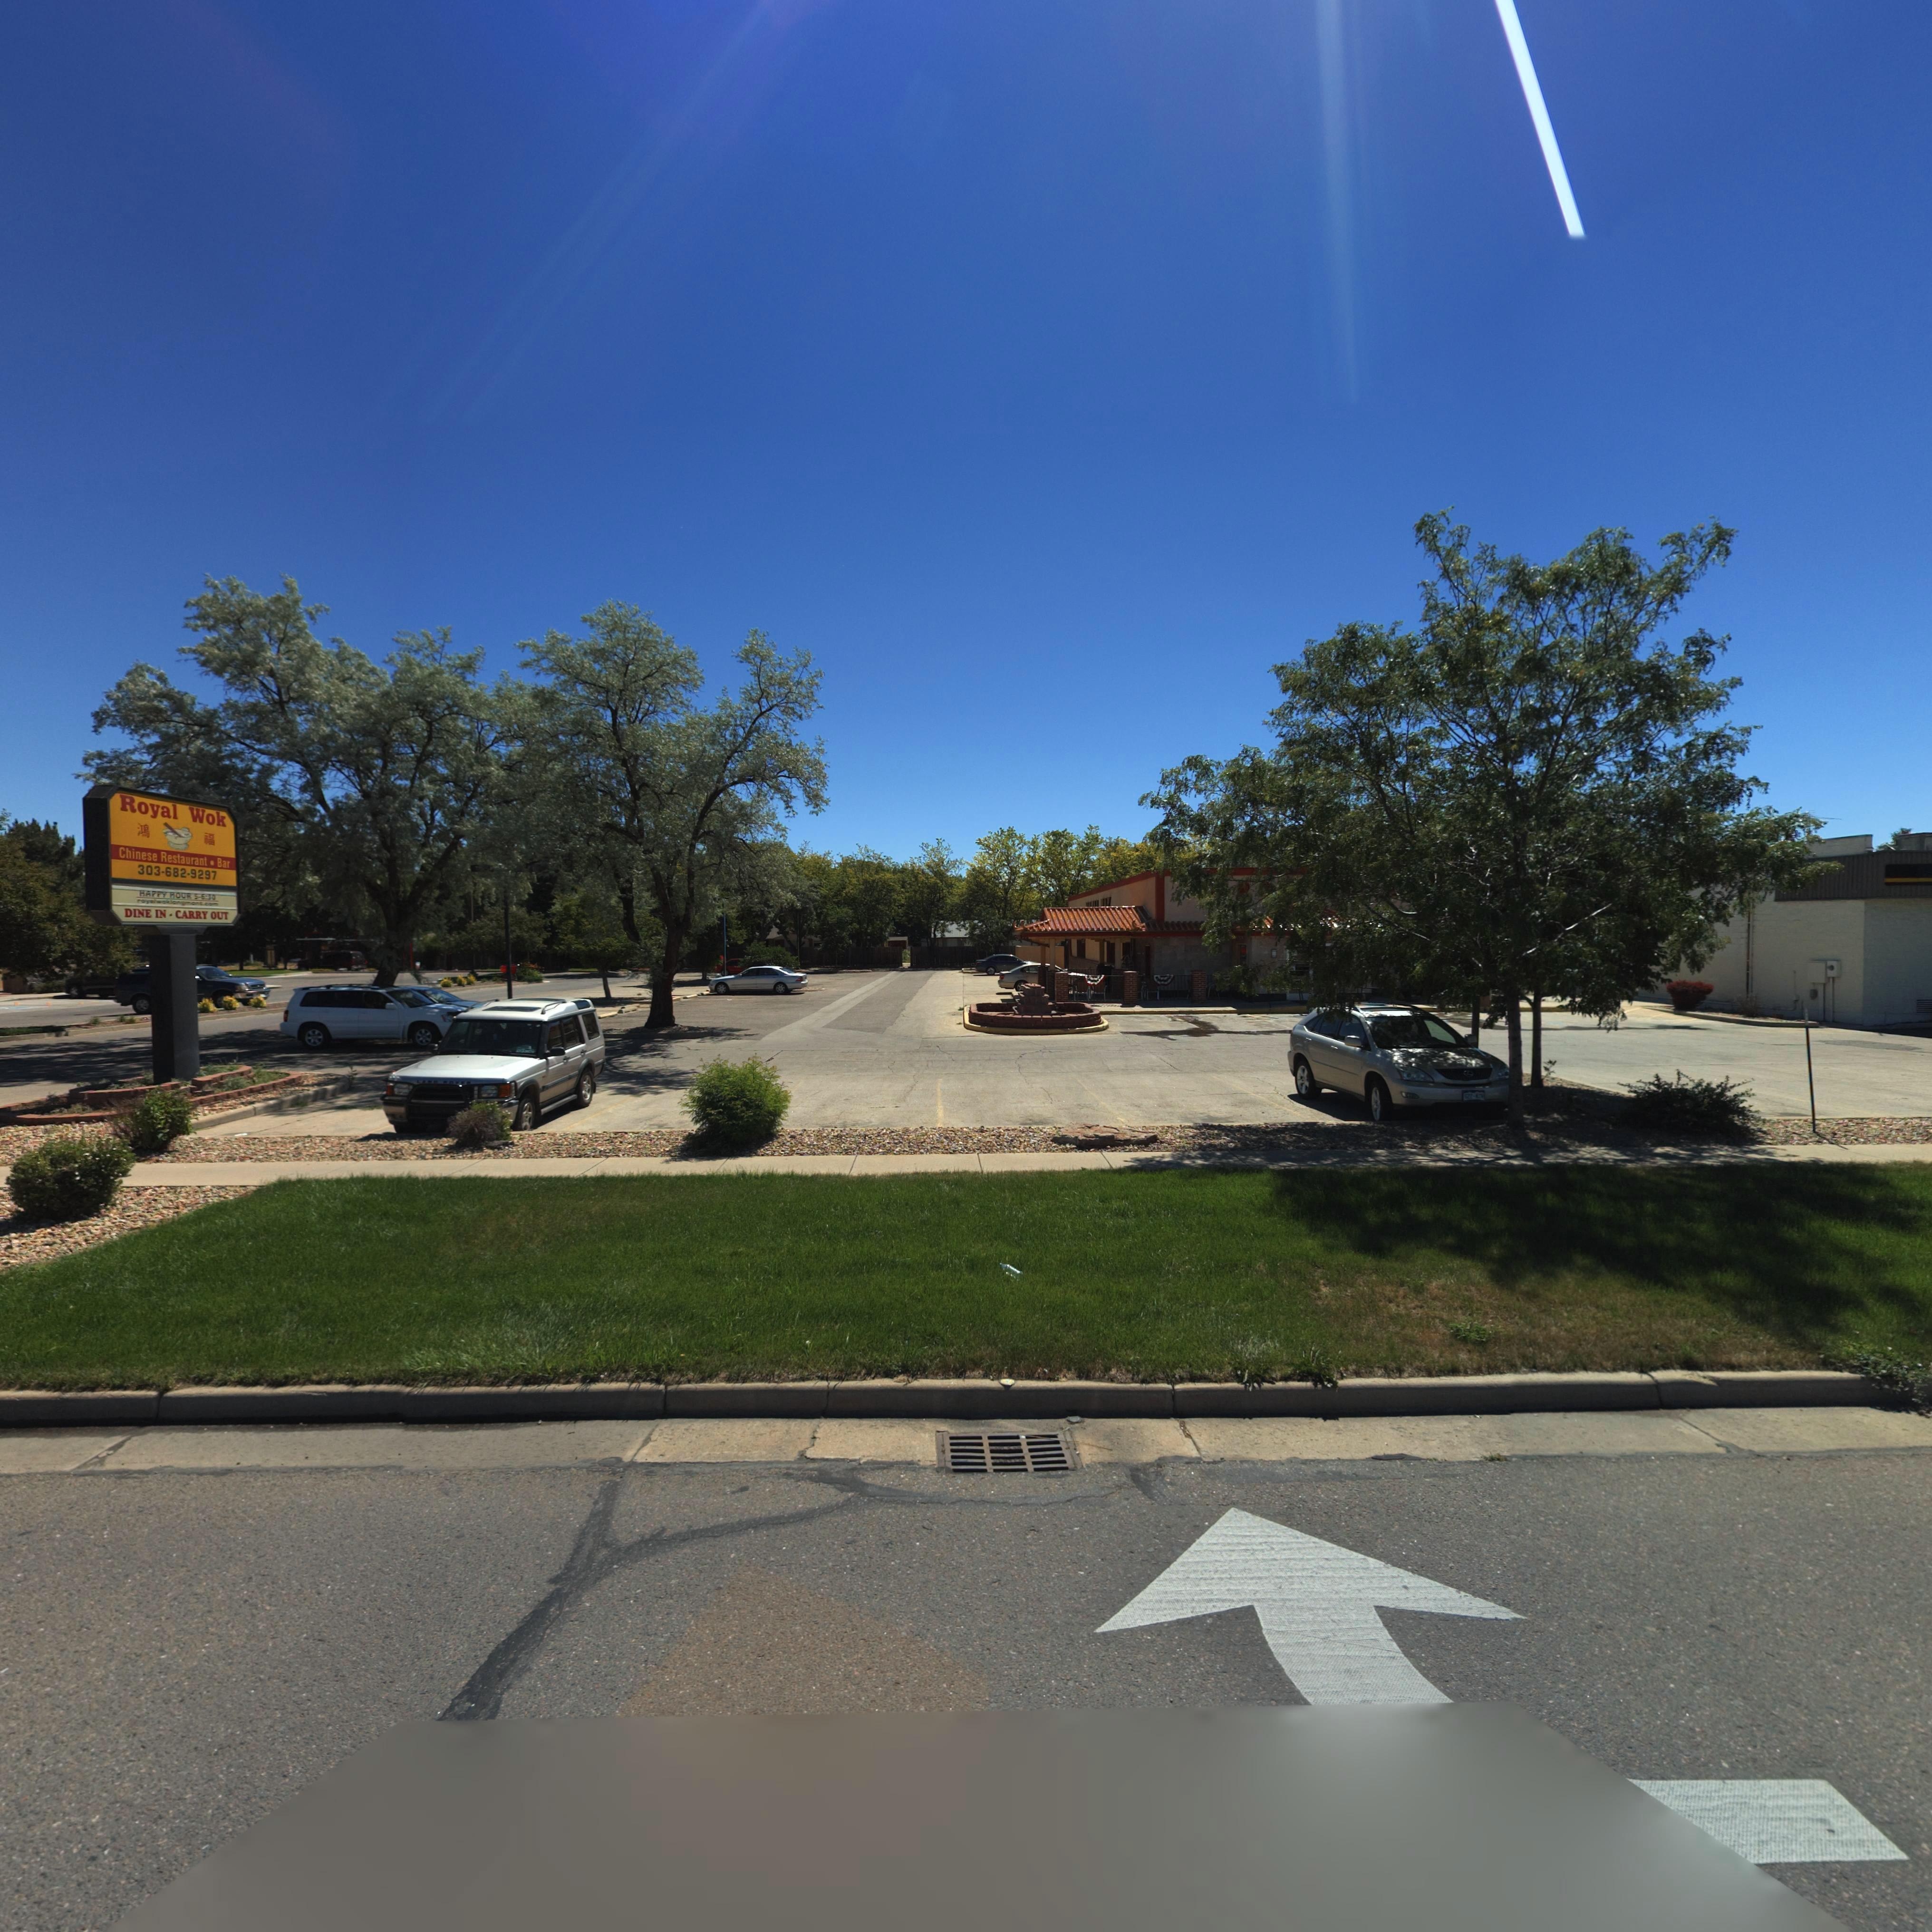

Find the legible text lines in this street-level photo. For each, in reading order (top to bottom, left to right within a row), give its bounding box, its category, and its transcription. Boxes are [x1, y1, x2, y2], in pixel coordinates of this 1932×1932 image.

[119, 793, 228, 828] BusinessName: Royal Wok